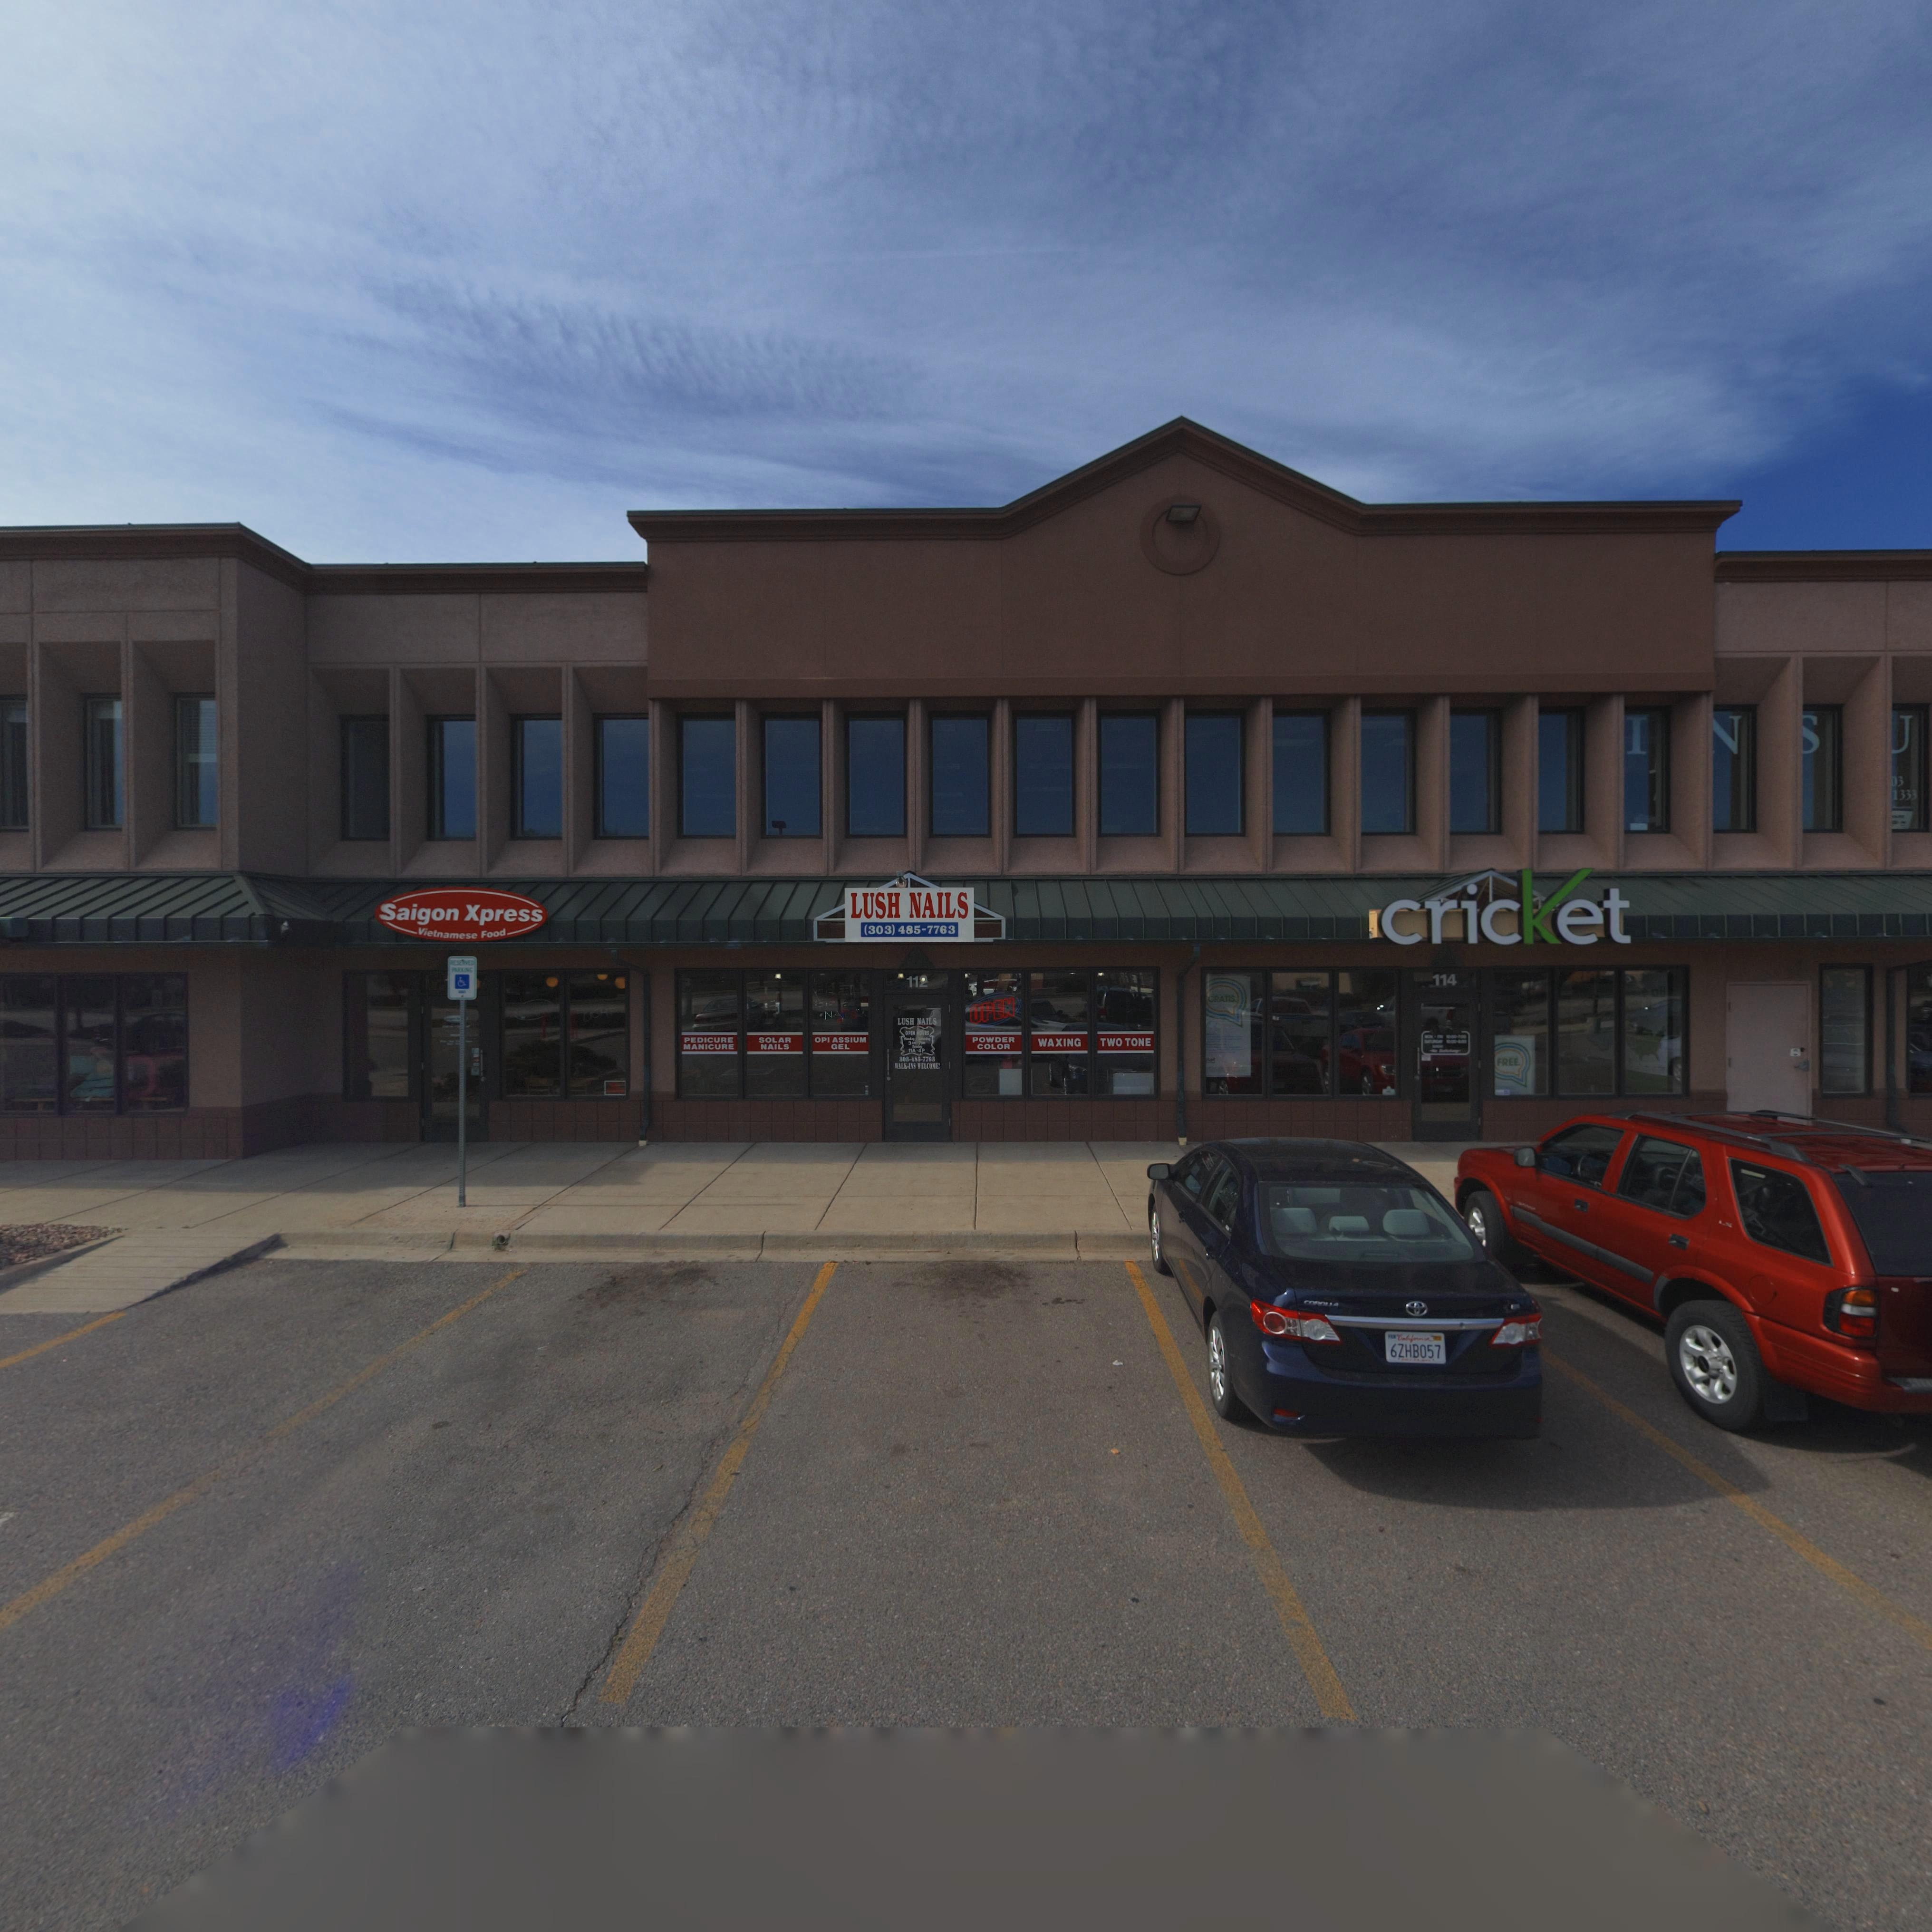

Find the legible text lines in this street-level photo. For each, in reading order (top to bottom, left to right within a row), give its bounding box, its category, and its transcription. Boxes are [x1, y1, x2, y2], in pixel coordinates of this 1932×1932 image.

[851, 892, 967, 918] BusinessName: LUSH NAILS
[1377, 867, 1633, 944] BusinessName: cricKet
[379, 903, 543, 926] BusinessName: Saigon Xpress
[418, 927, 505, 938] BusinessName: Vietnamese Food
[906, 975, 928, 987] StreetNumber: 112
[1432, 973, 1457, 985] StreetNumber: 114
[898, 1017, 937, 1024] BusinessName: LUSH NAILS